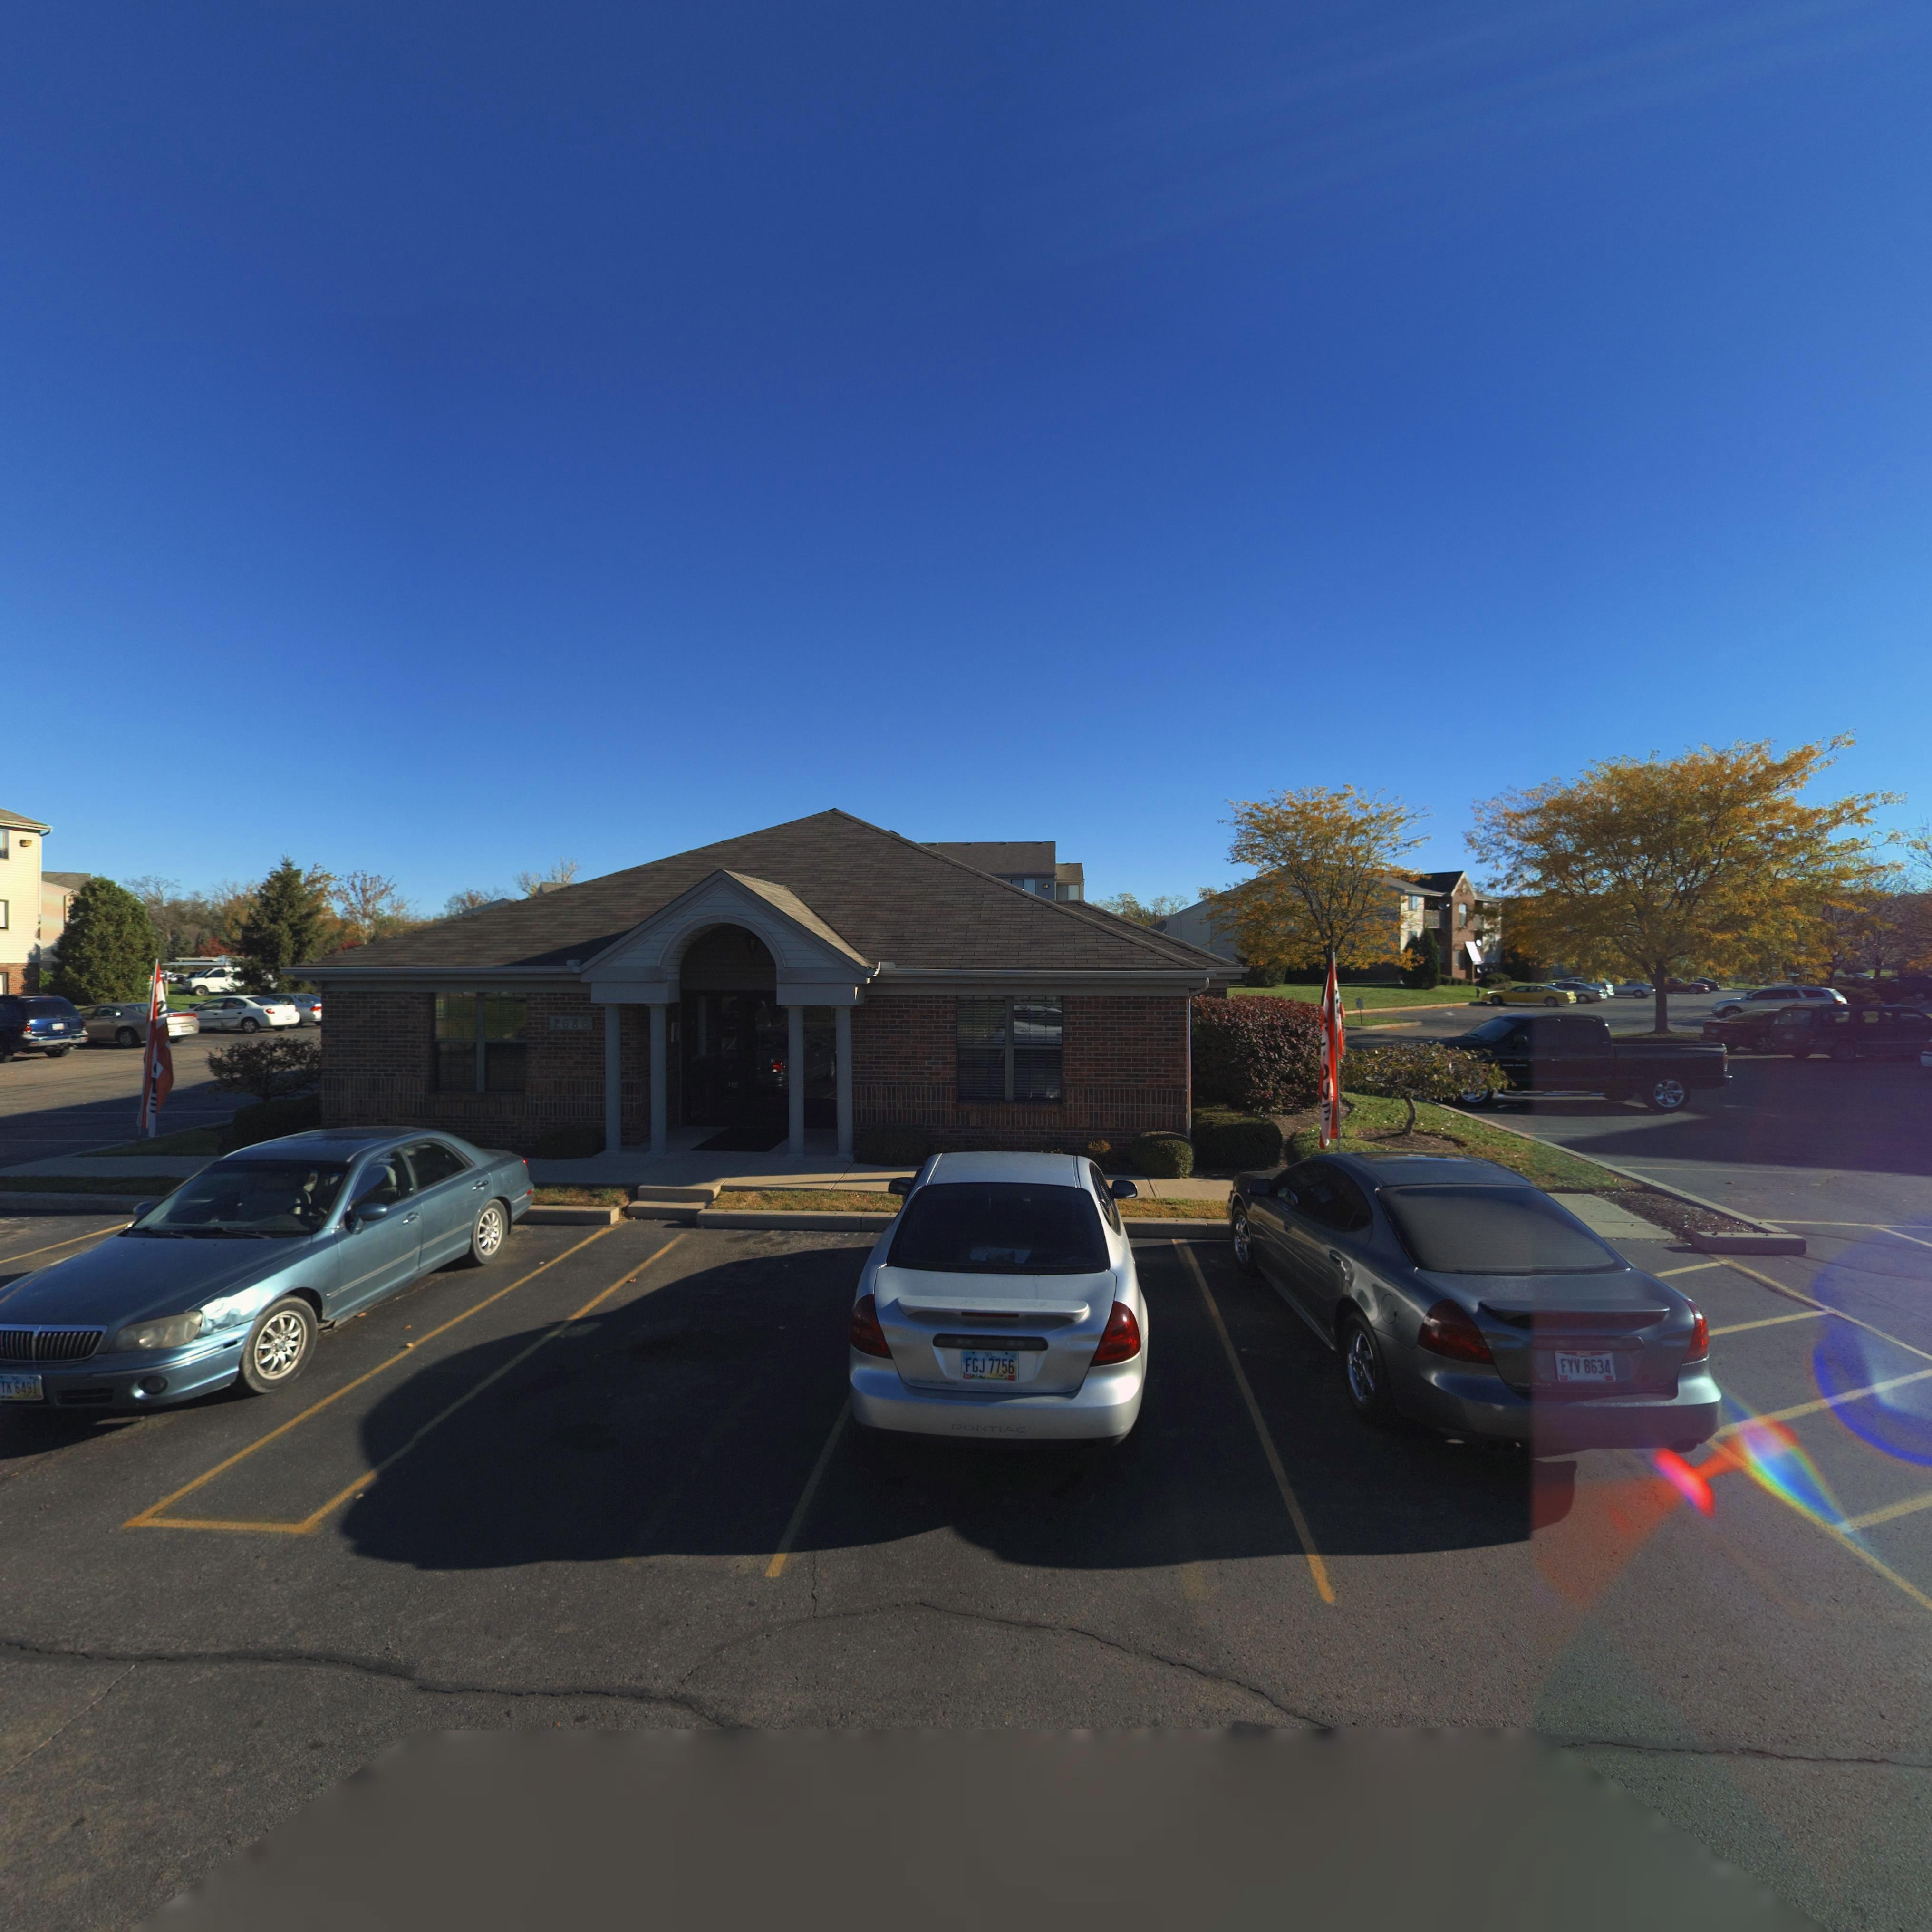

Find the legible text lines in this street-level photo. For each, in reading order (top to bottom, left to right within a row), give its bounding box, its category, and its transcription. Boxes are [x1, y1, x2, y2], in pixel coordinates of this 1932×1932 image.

[552, 1018, 589, 1030] StreetNumber: 2686